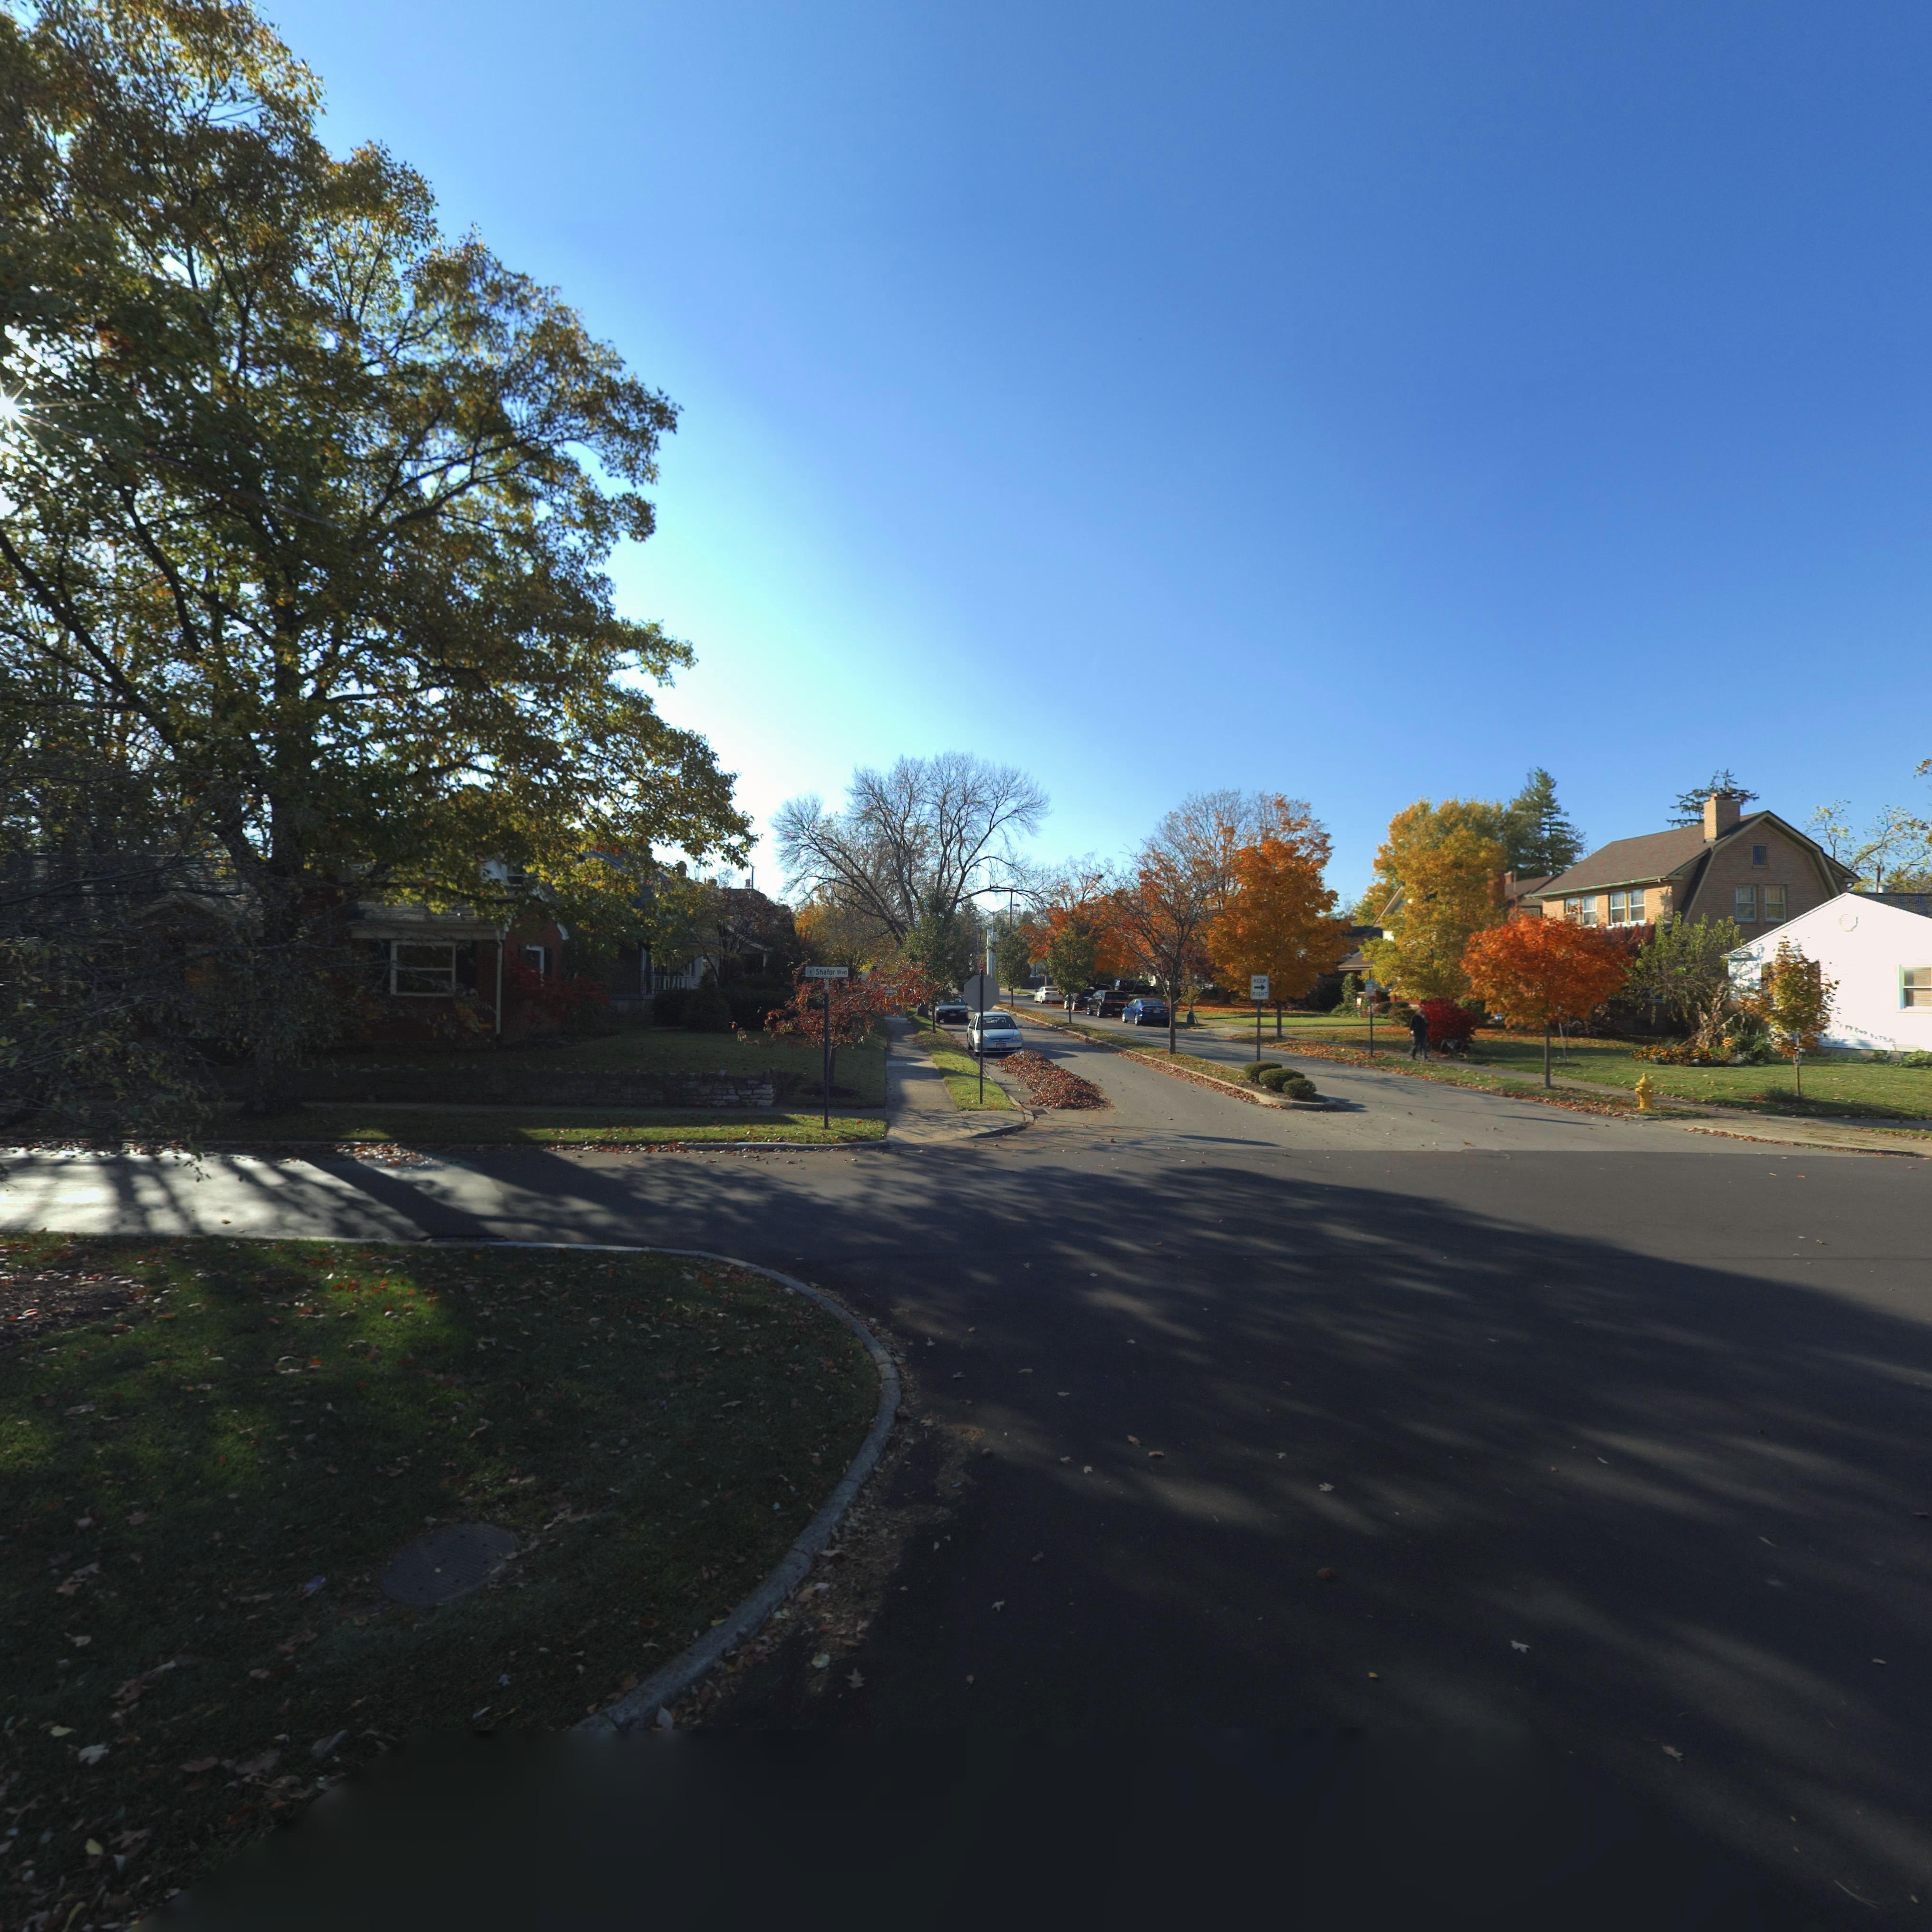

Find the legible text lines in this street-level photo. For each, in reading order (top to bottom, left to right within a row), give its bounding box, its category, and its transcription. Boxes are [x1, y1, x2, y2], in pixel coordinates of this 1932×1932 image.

[815, 967, 848, 976] StreetName: Shafor Blvd
[1252, 977, 1267, 984] None: KEEP
[1252, 991, 1269, 997] None: RIGHT